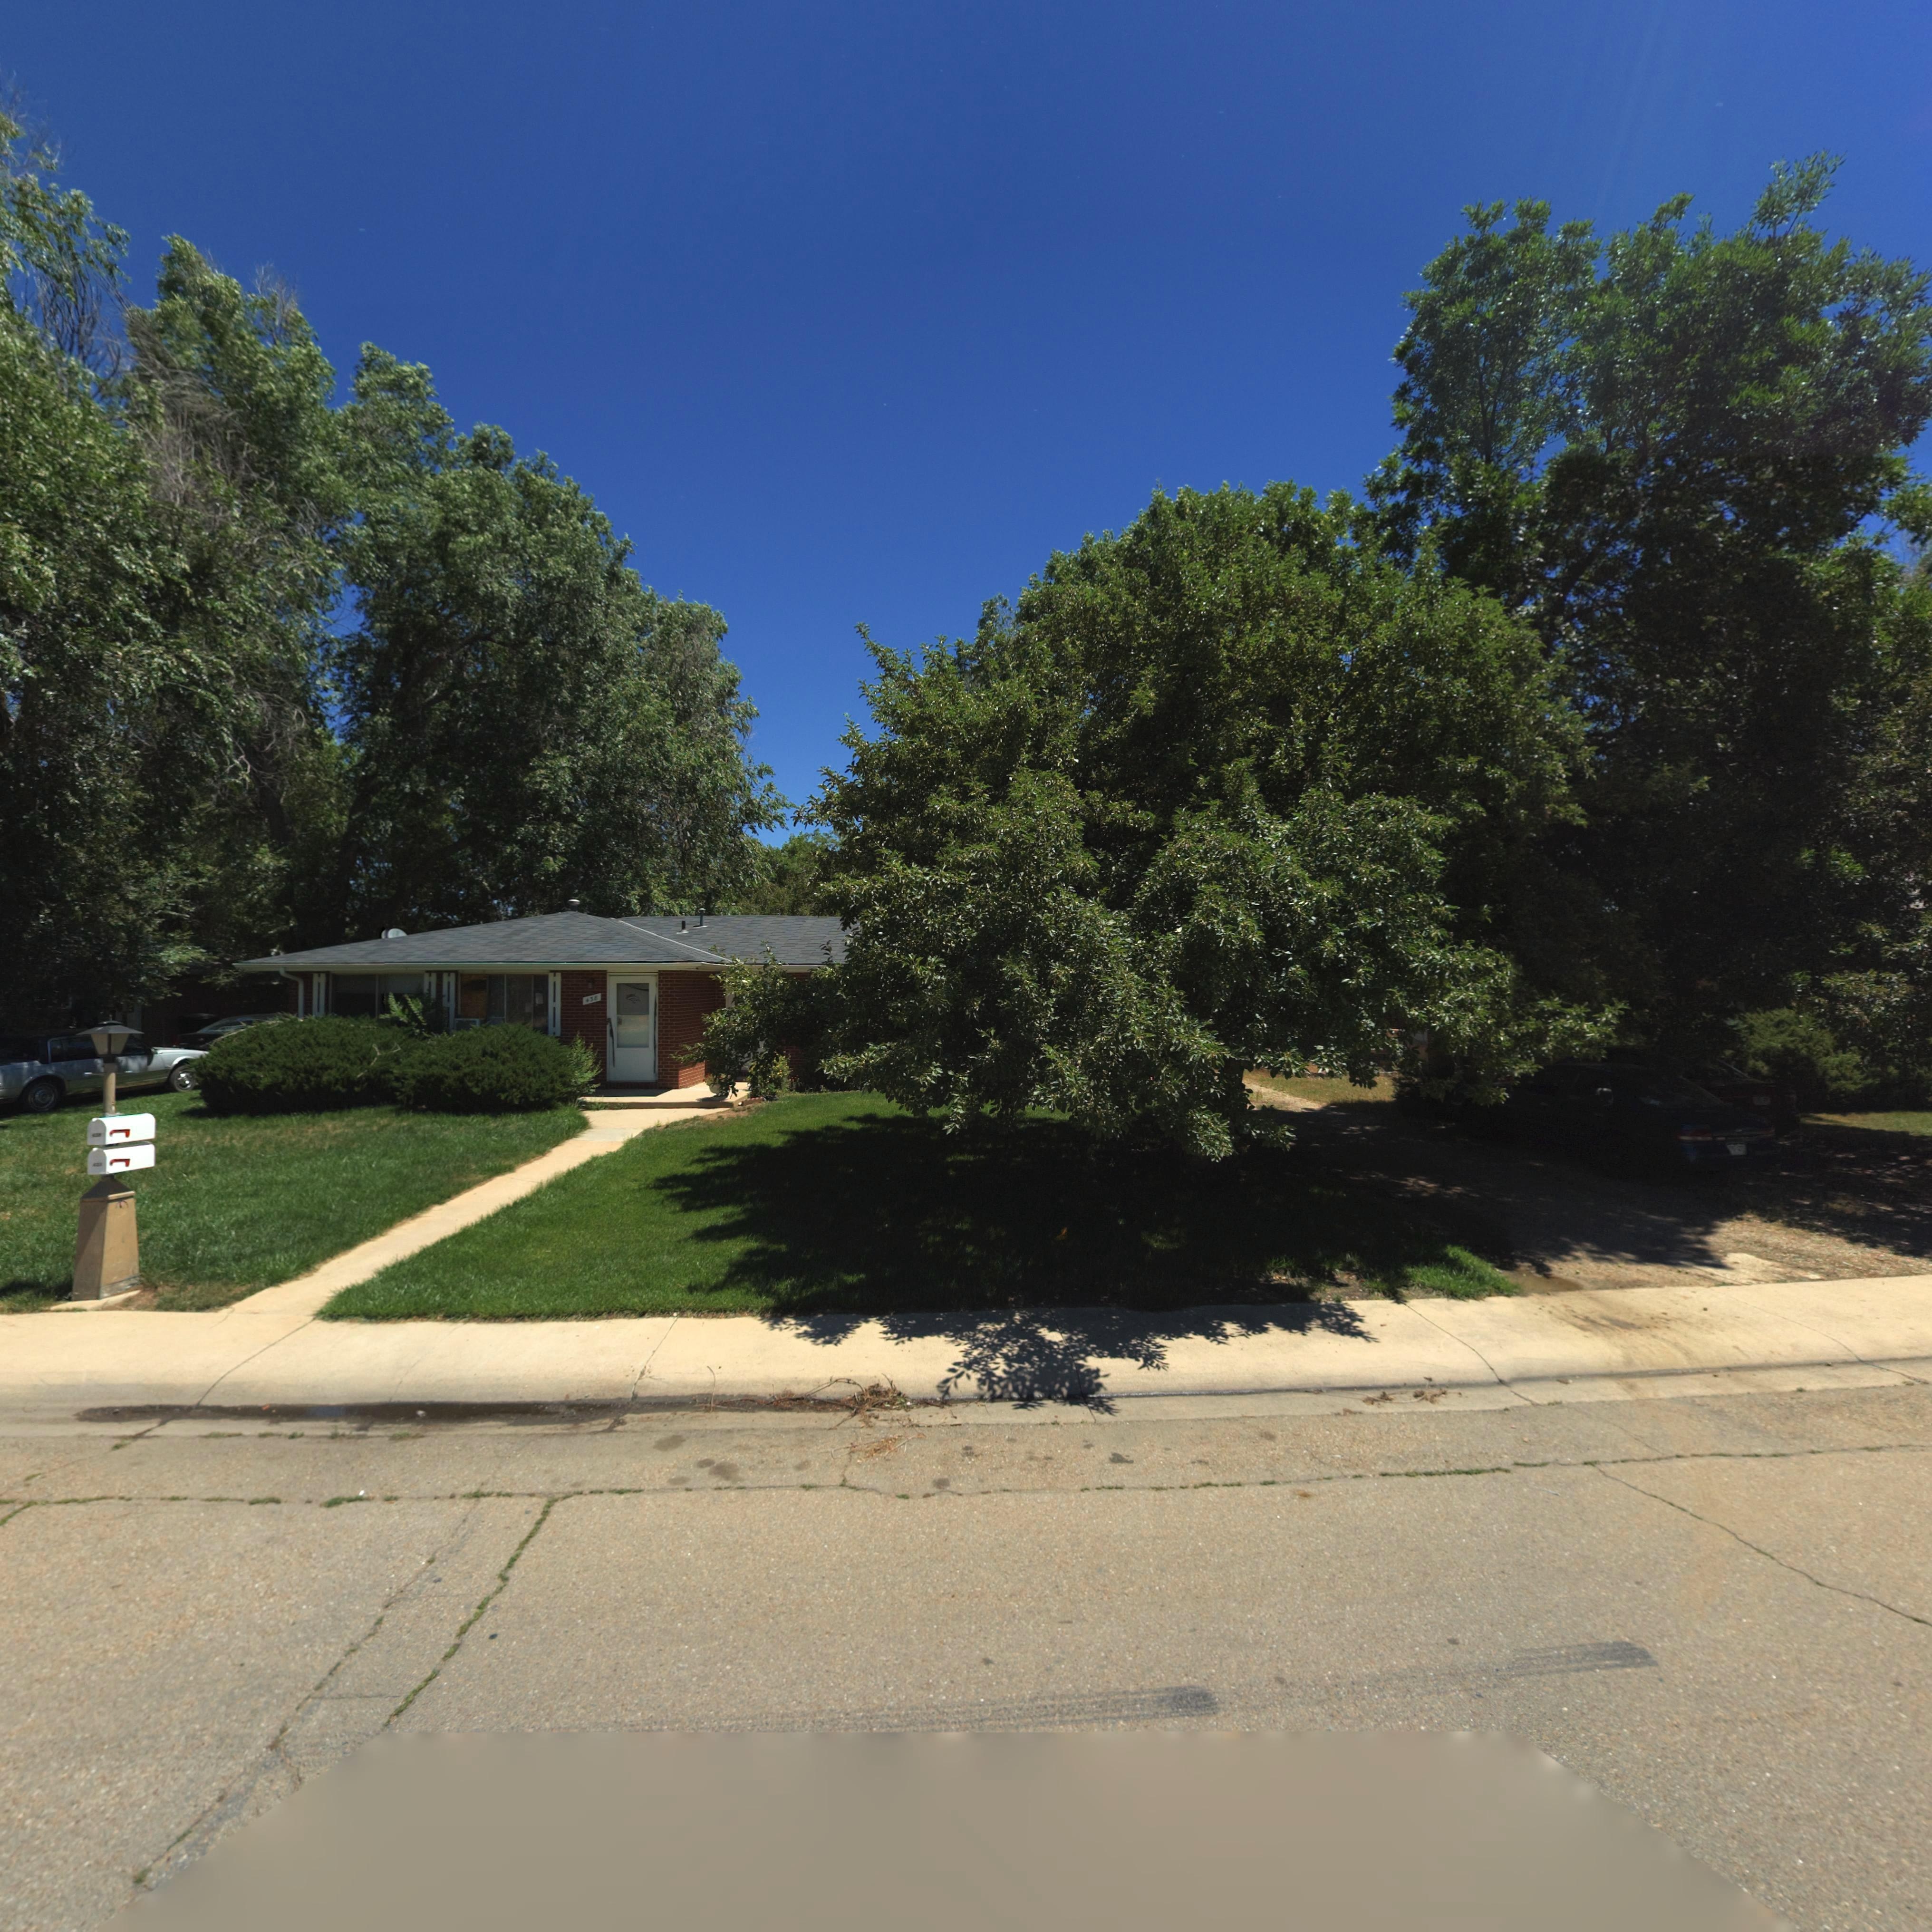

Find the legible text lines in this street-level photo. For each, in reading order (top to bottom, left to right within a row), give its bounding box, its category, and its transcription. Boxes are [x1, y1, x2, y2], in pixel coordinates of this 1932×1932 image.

[585, 995, 598, 1003] StreetNumber: 438